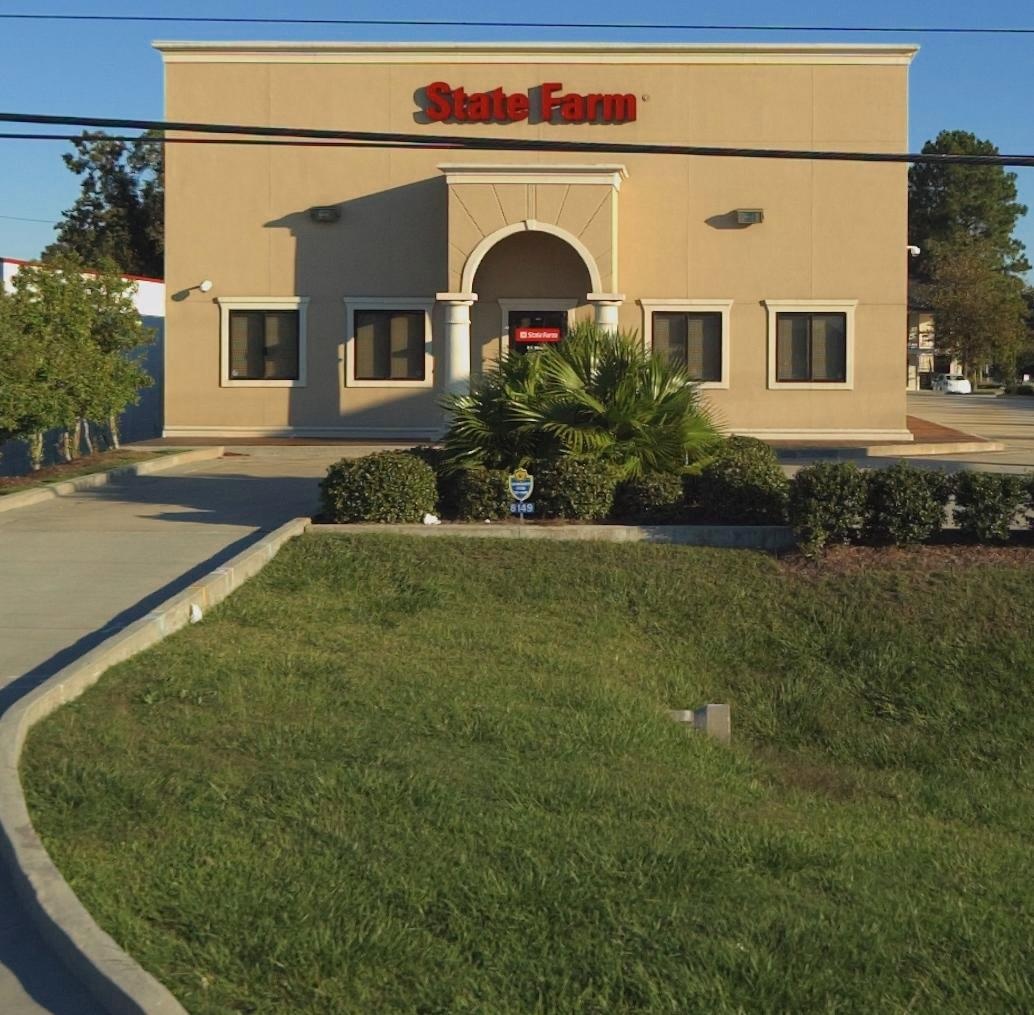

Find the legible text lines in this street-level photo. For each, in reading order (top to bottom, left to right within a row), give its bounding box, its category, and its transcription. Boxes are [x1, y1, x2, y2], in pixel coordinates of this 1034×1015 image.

[423, 79, 641, 124] BusinessName: State Farm
[508, 501, 535, 514] StreetNumber: 8149